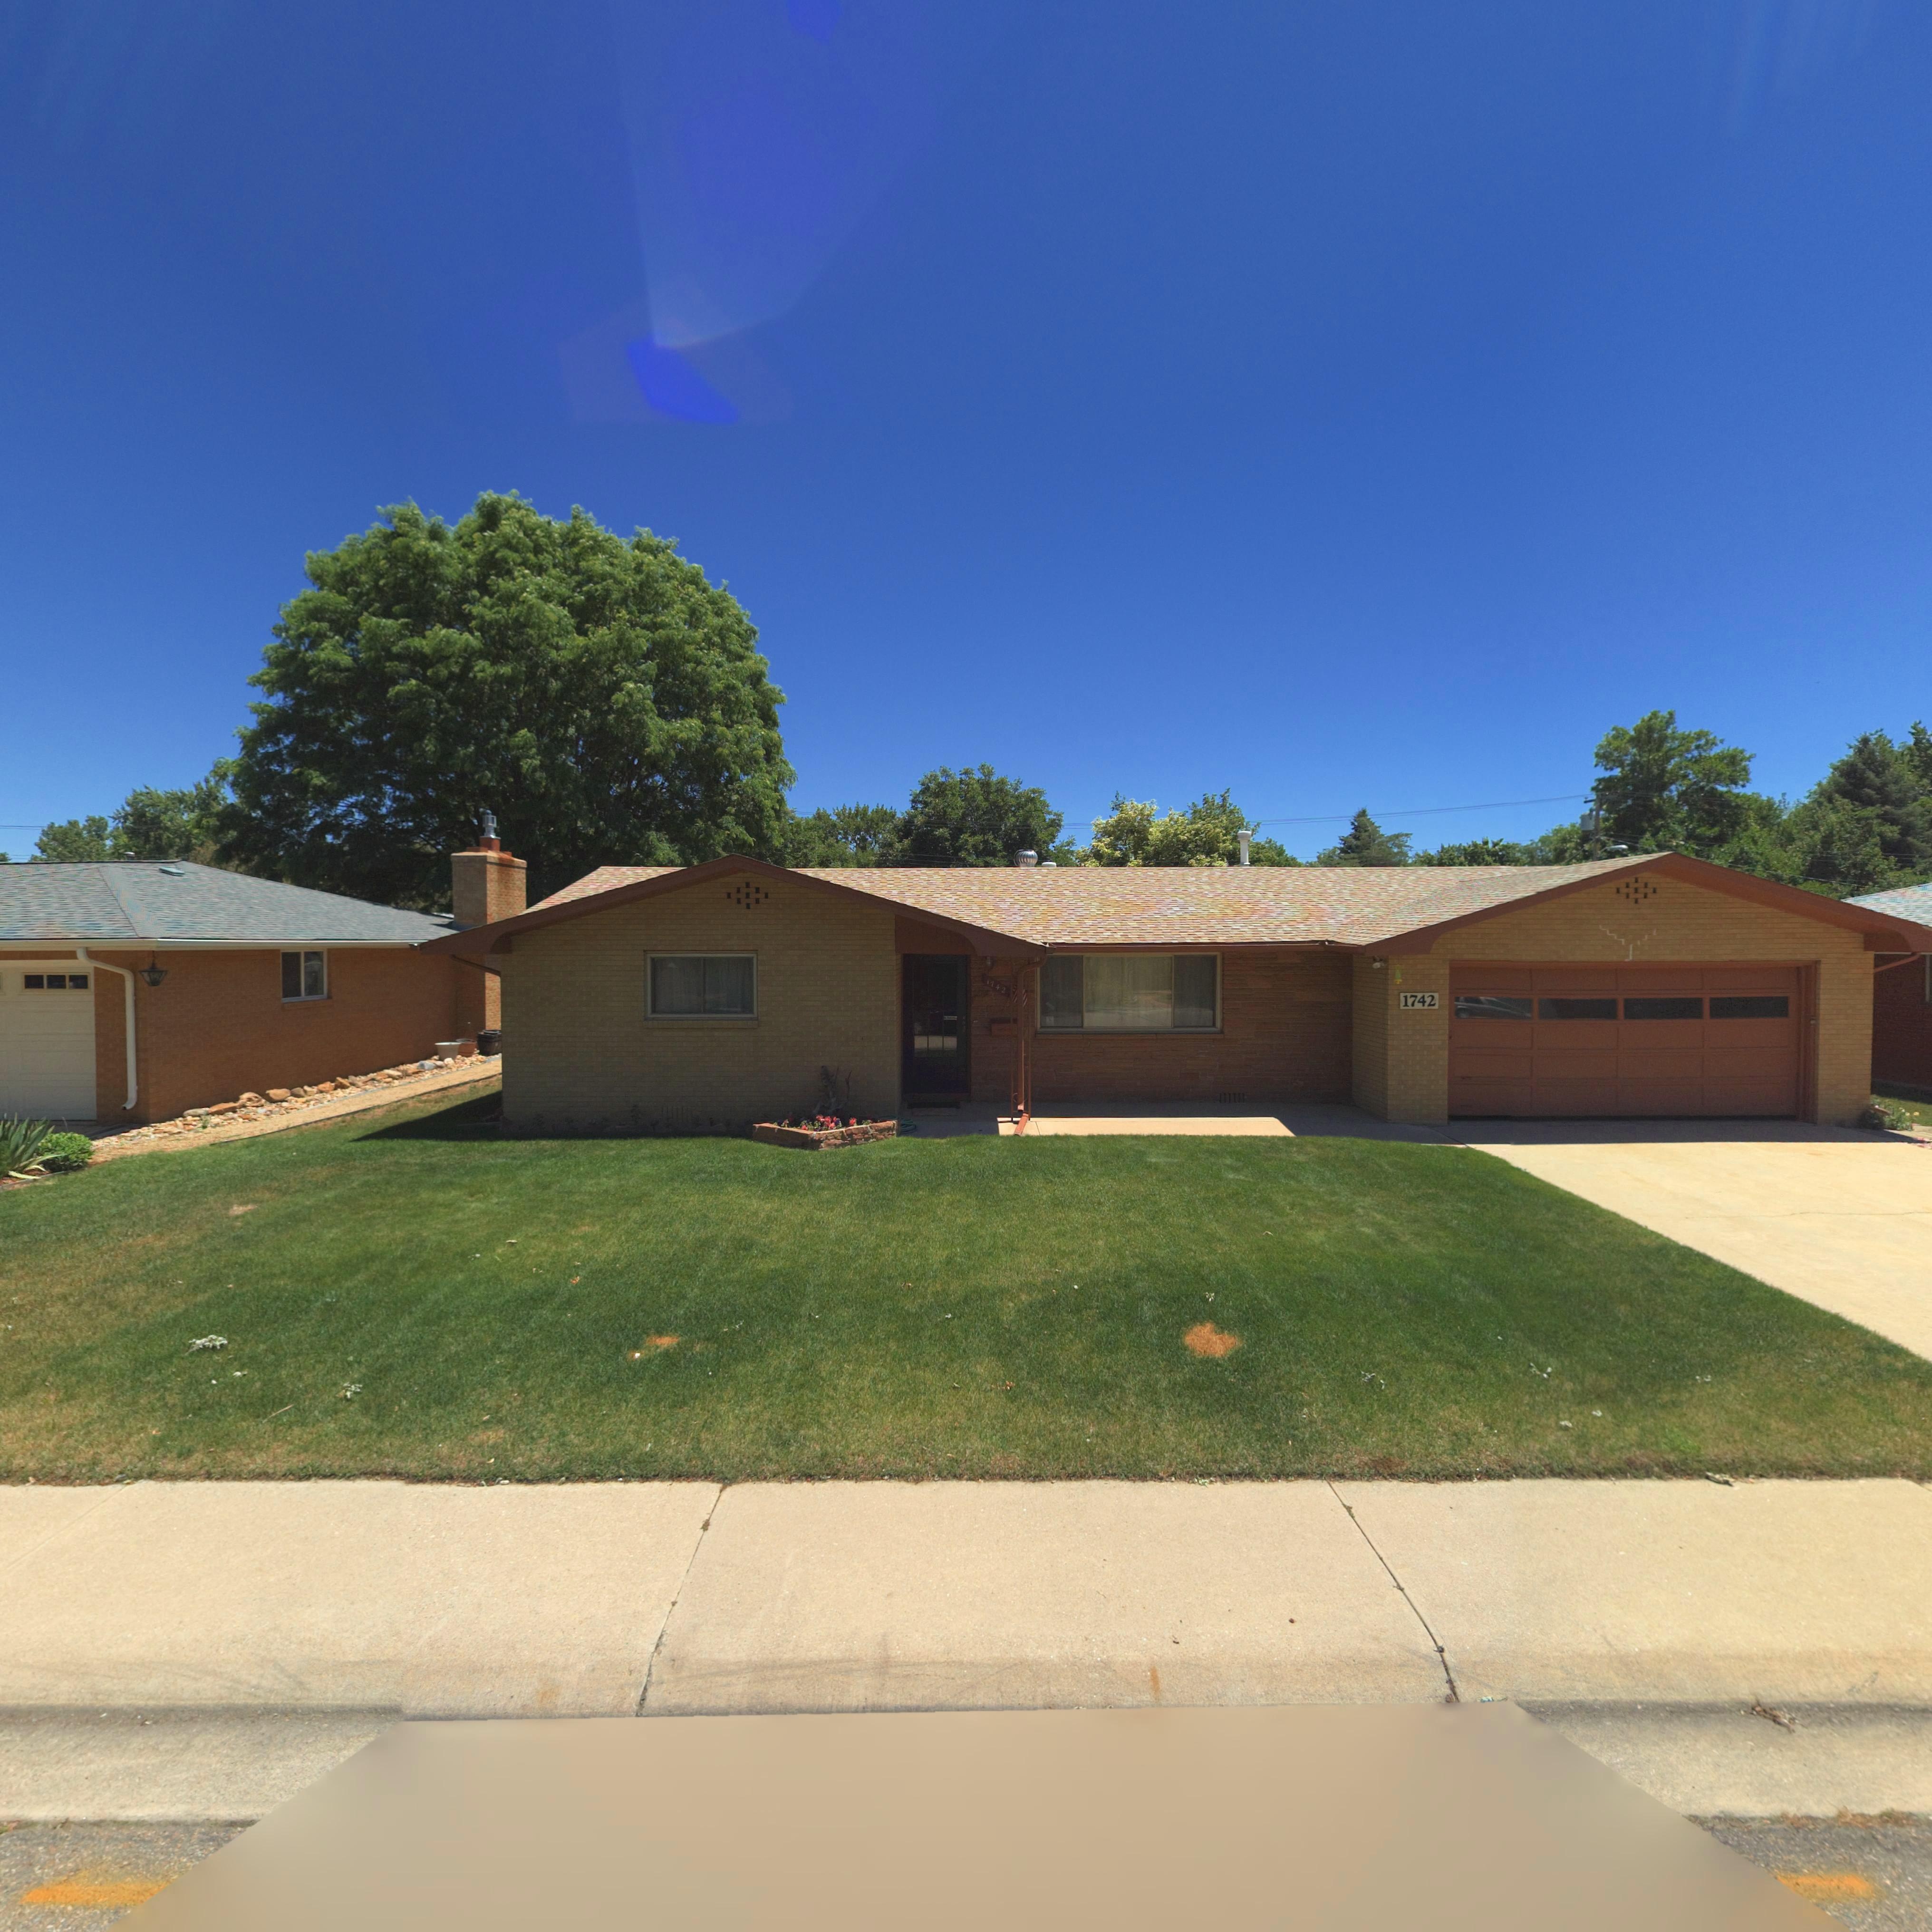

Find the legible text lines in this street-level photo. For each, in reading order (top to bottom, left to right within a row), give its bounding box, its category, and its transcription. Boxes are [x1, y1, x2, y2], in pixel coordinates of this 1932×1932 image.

[986, 978, 1006, 993] StreetNumber: 1742
[1401, 994, 1436, 1007] StreetNumber: 1742